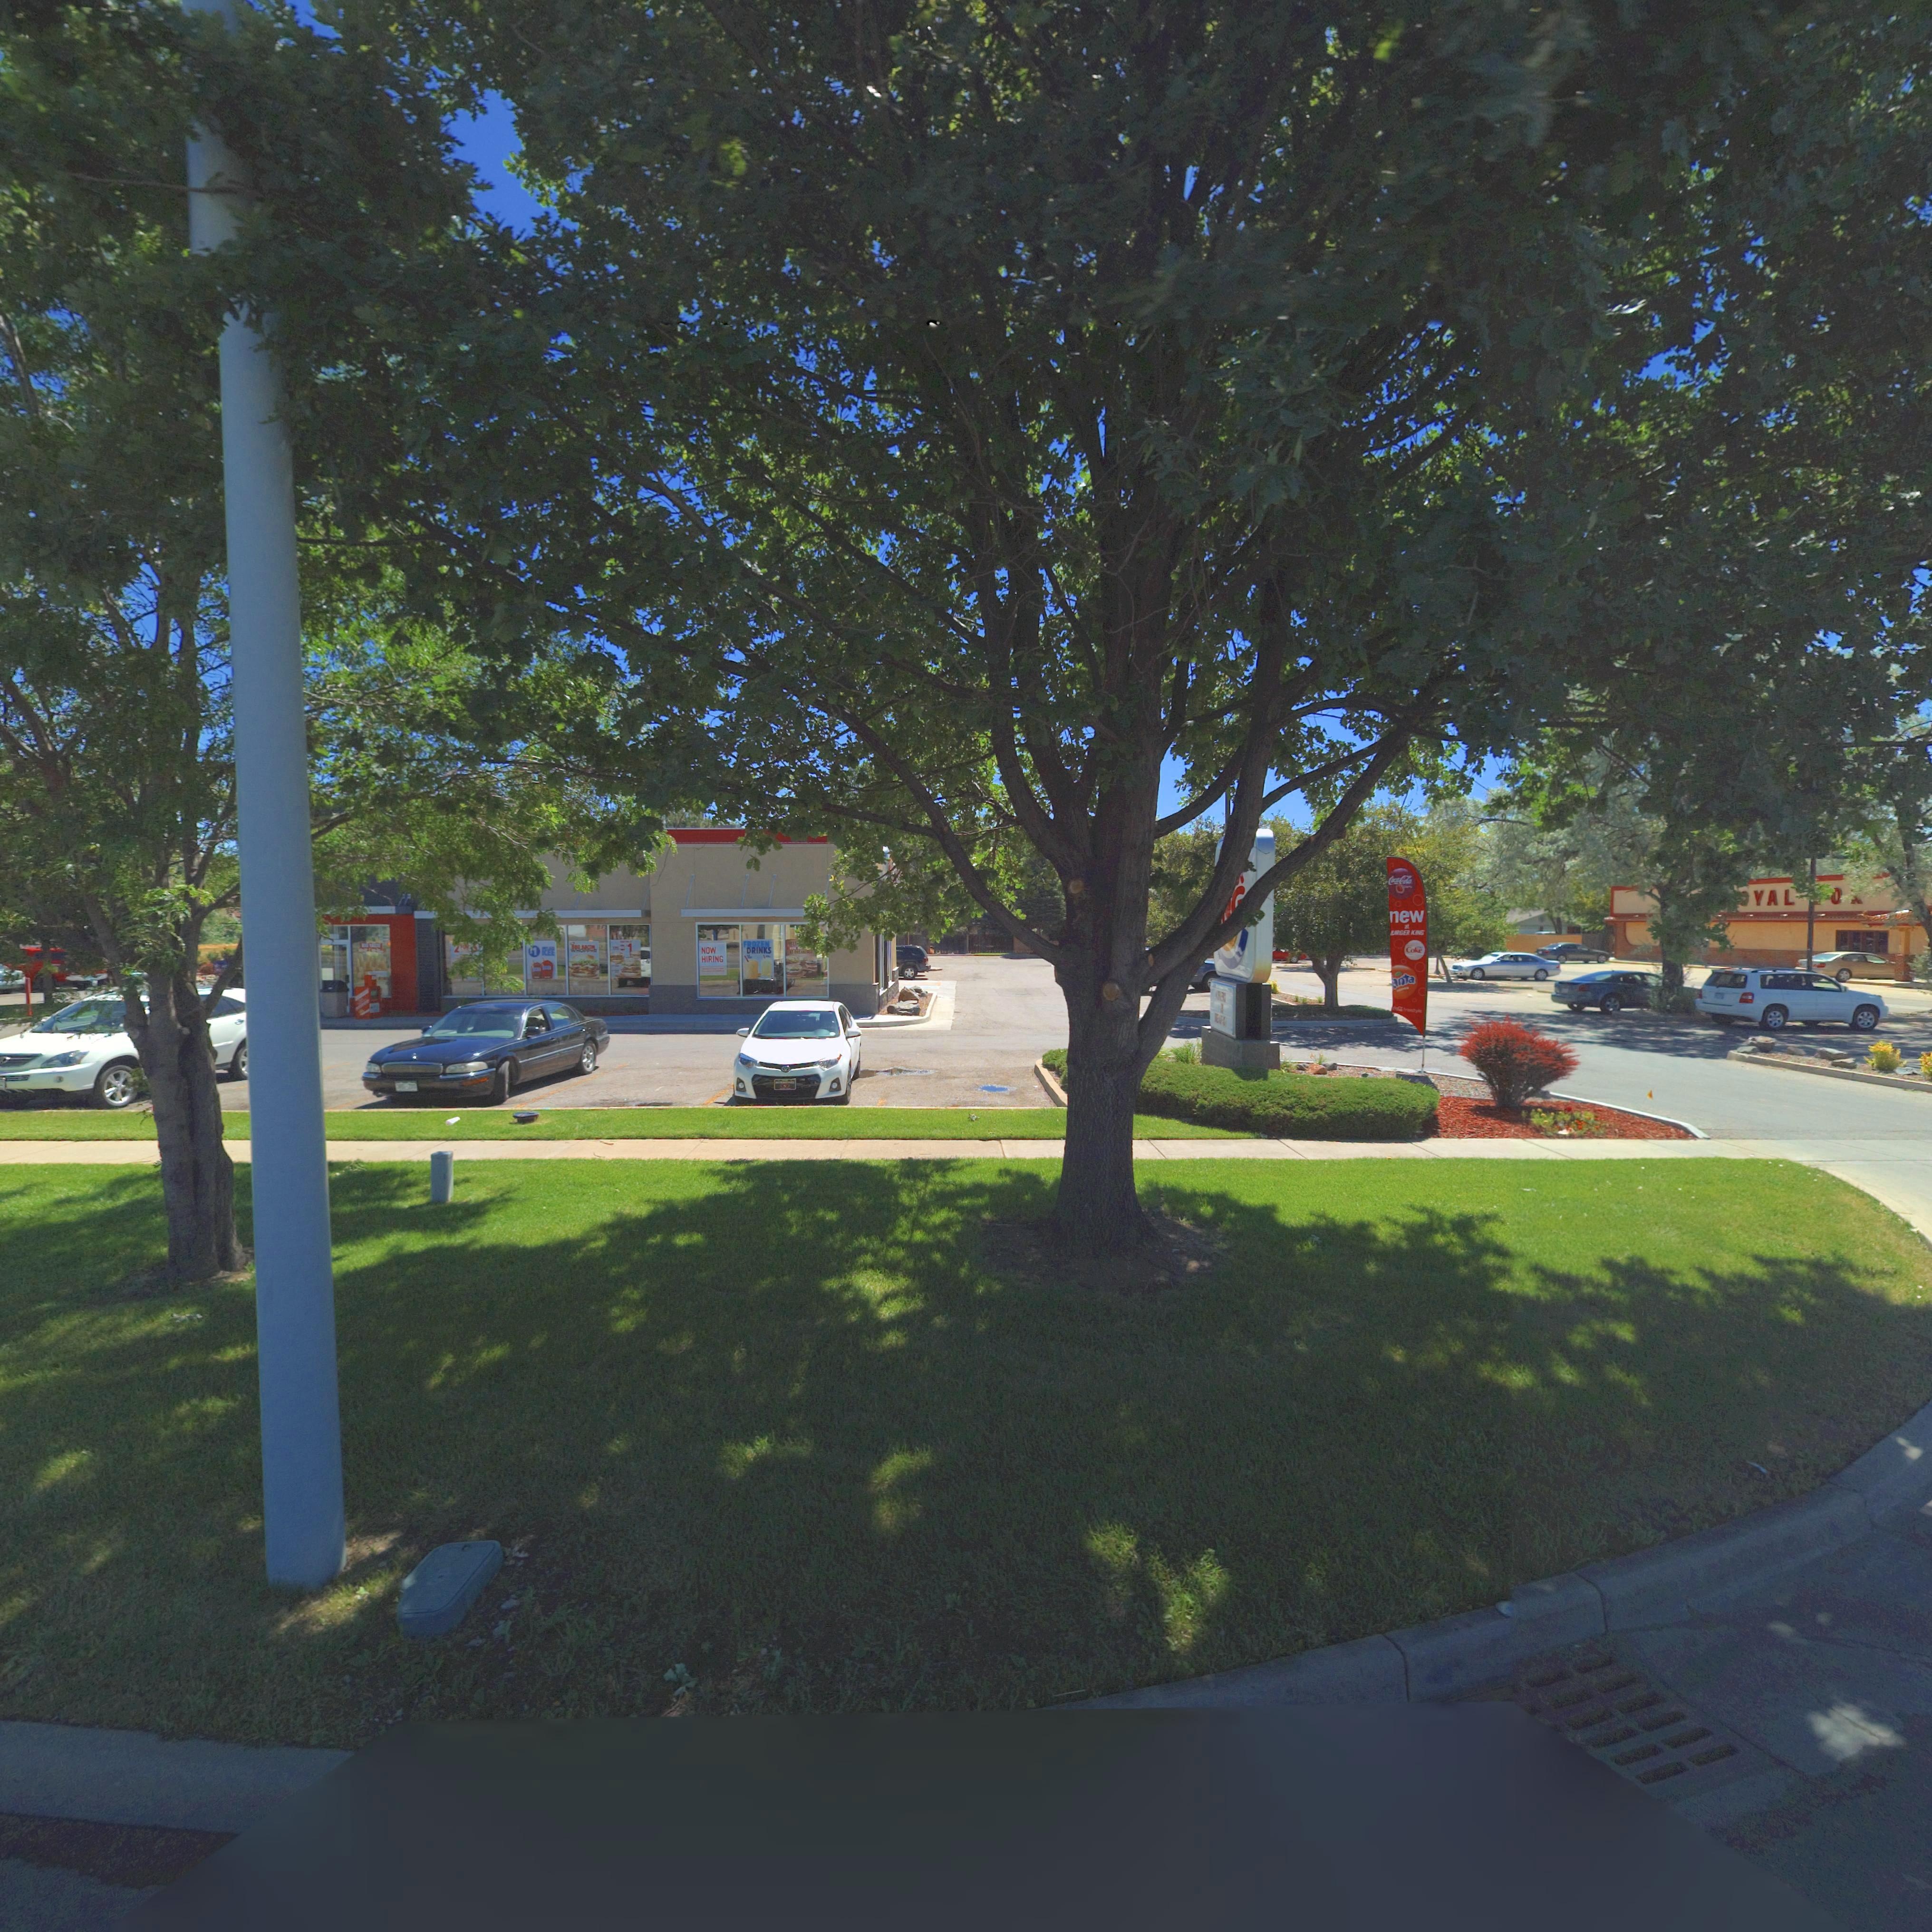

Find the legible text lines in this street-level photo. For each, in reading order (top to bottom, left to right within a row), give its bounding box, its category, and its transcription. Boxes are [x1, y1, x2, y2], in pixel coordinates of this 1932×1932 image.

[1752, 889, 1796, 906] BusinessName: YAL